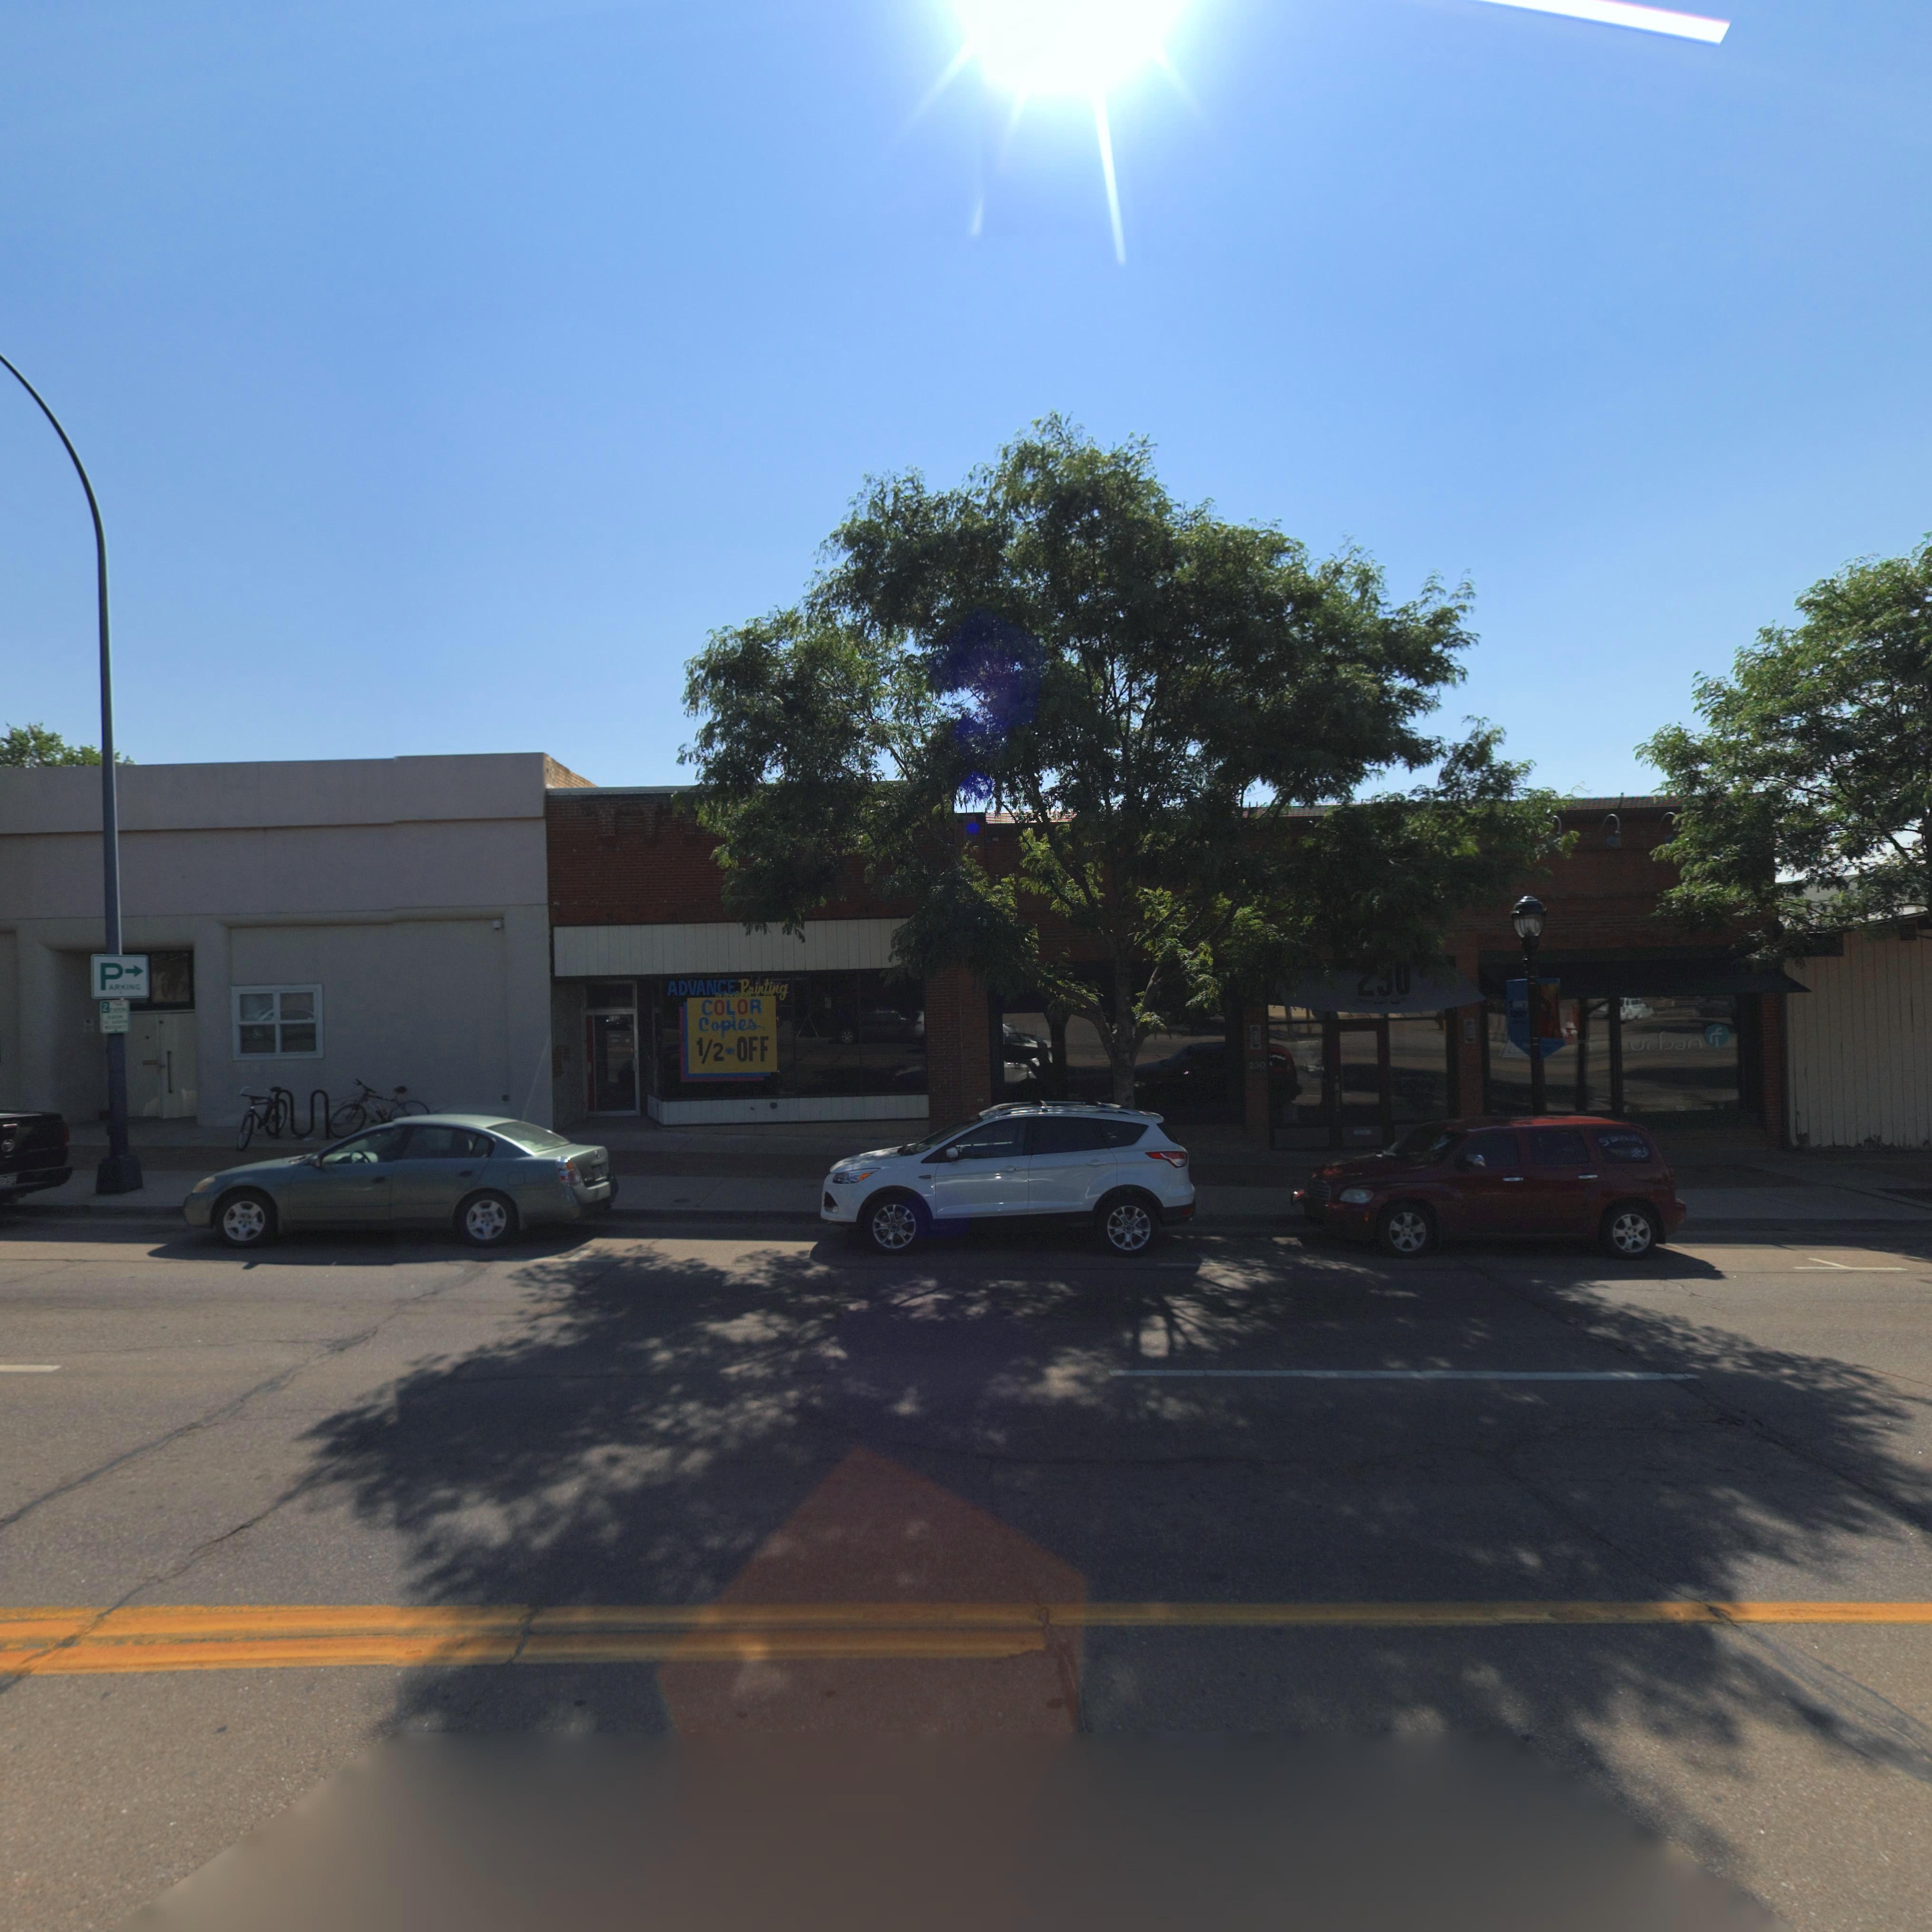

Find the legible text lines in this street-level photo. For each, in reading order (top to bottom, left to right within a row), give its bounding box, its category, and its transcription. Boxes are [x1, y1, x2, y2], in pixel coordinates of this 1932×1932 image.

[666, 977, 790, 1002] BusinessName: ADVANCE Printing
[1356, 959, 1411, 997] StreetNumber: **0
[1629, 1031, 1703, 1052] BusinessName: urban
[1249, 1062, 1265, 1069] StreetNumber: 230